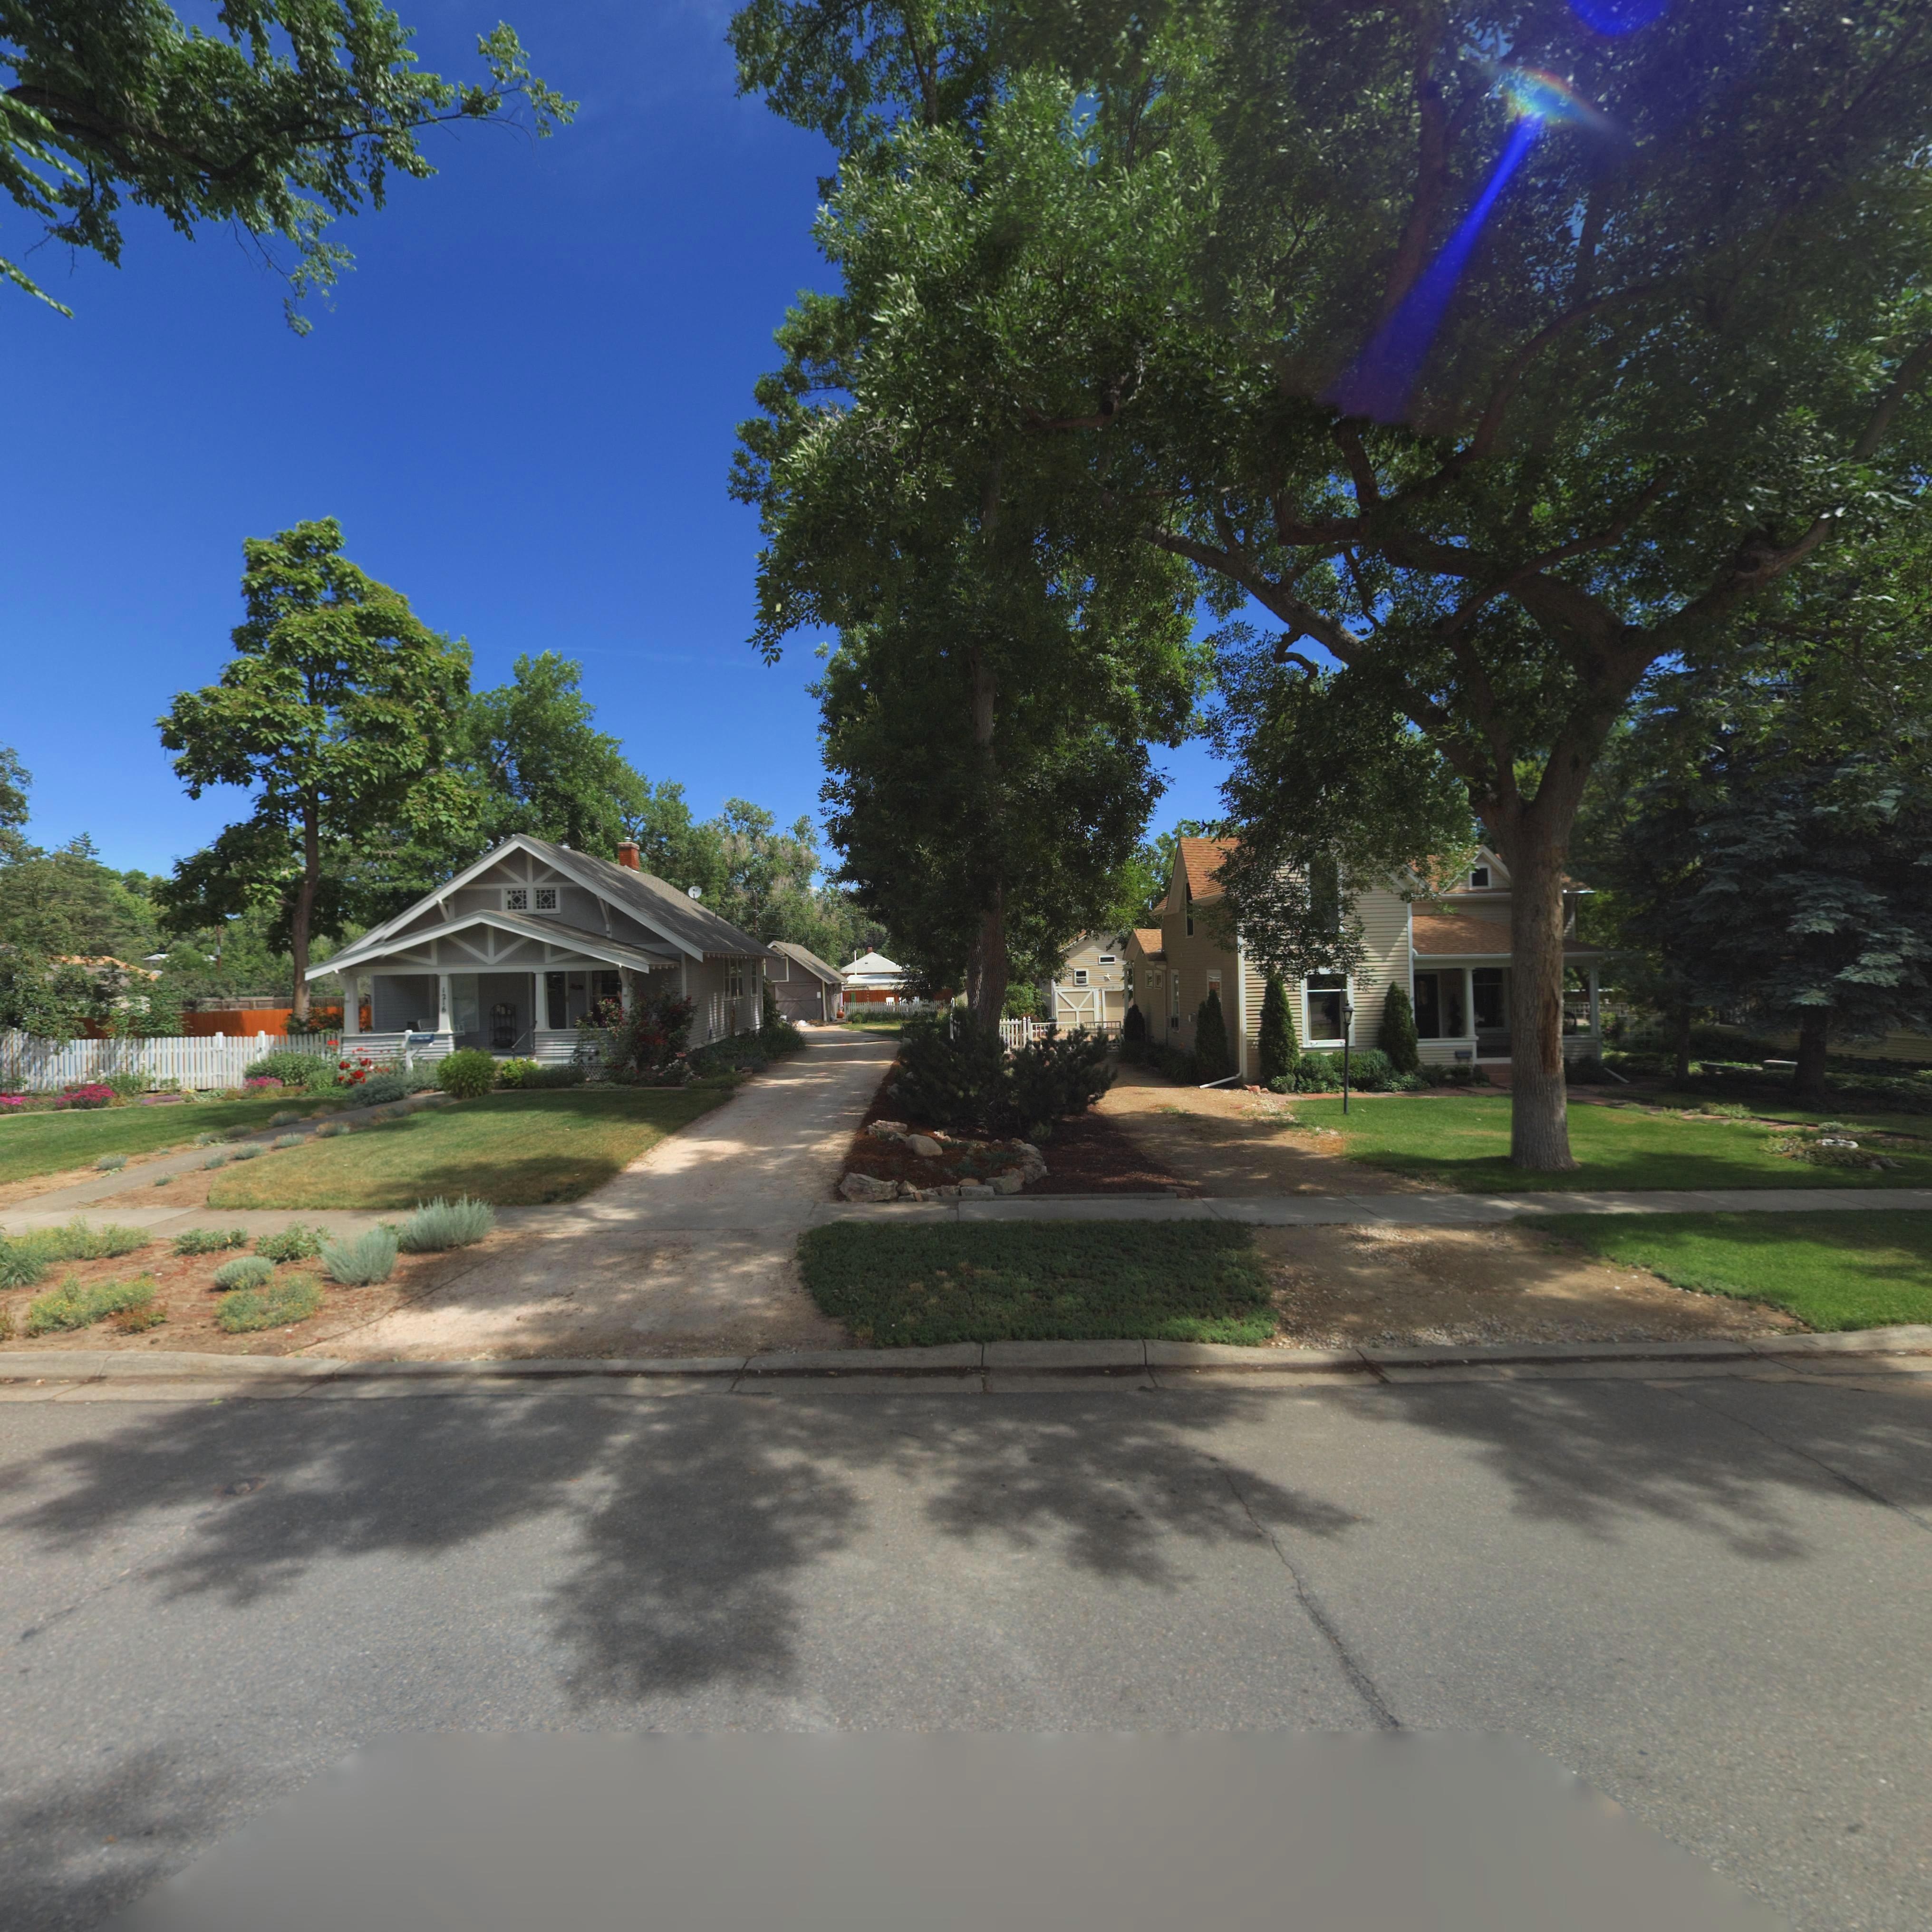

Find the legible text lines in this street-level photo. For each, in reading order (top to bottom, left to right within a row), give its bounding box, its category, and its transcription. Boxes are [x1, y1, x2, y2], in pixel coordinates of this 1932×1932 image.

[441, 986, 447, 1013] StreetNumber: 1216